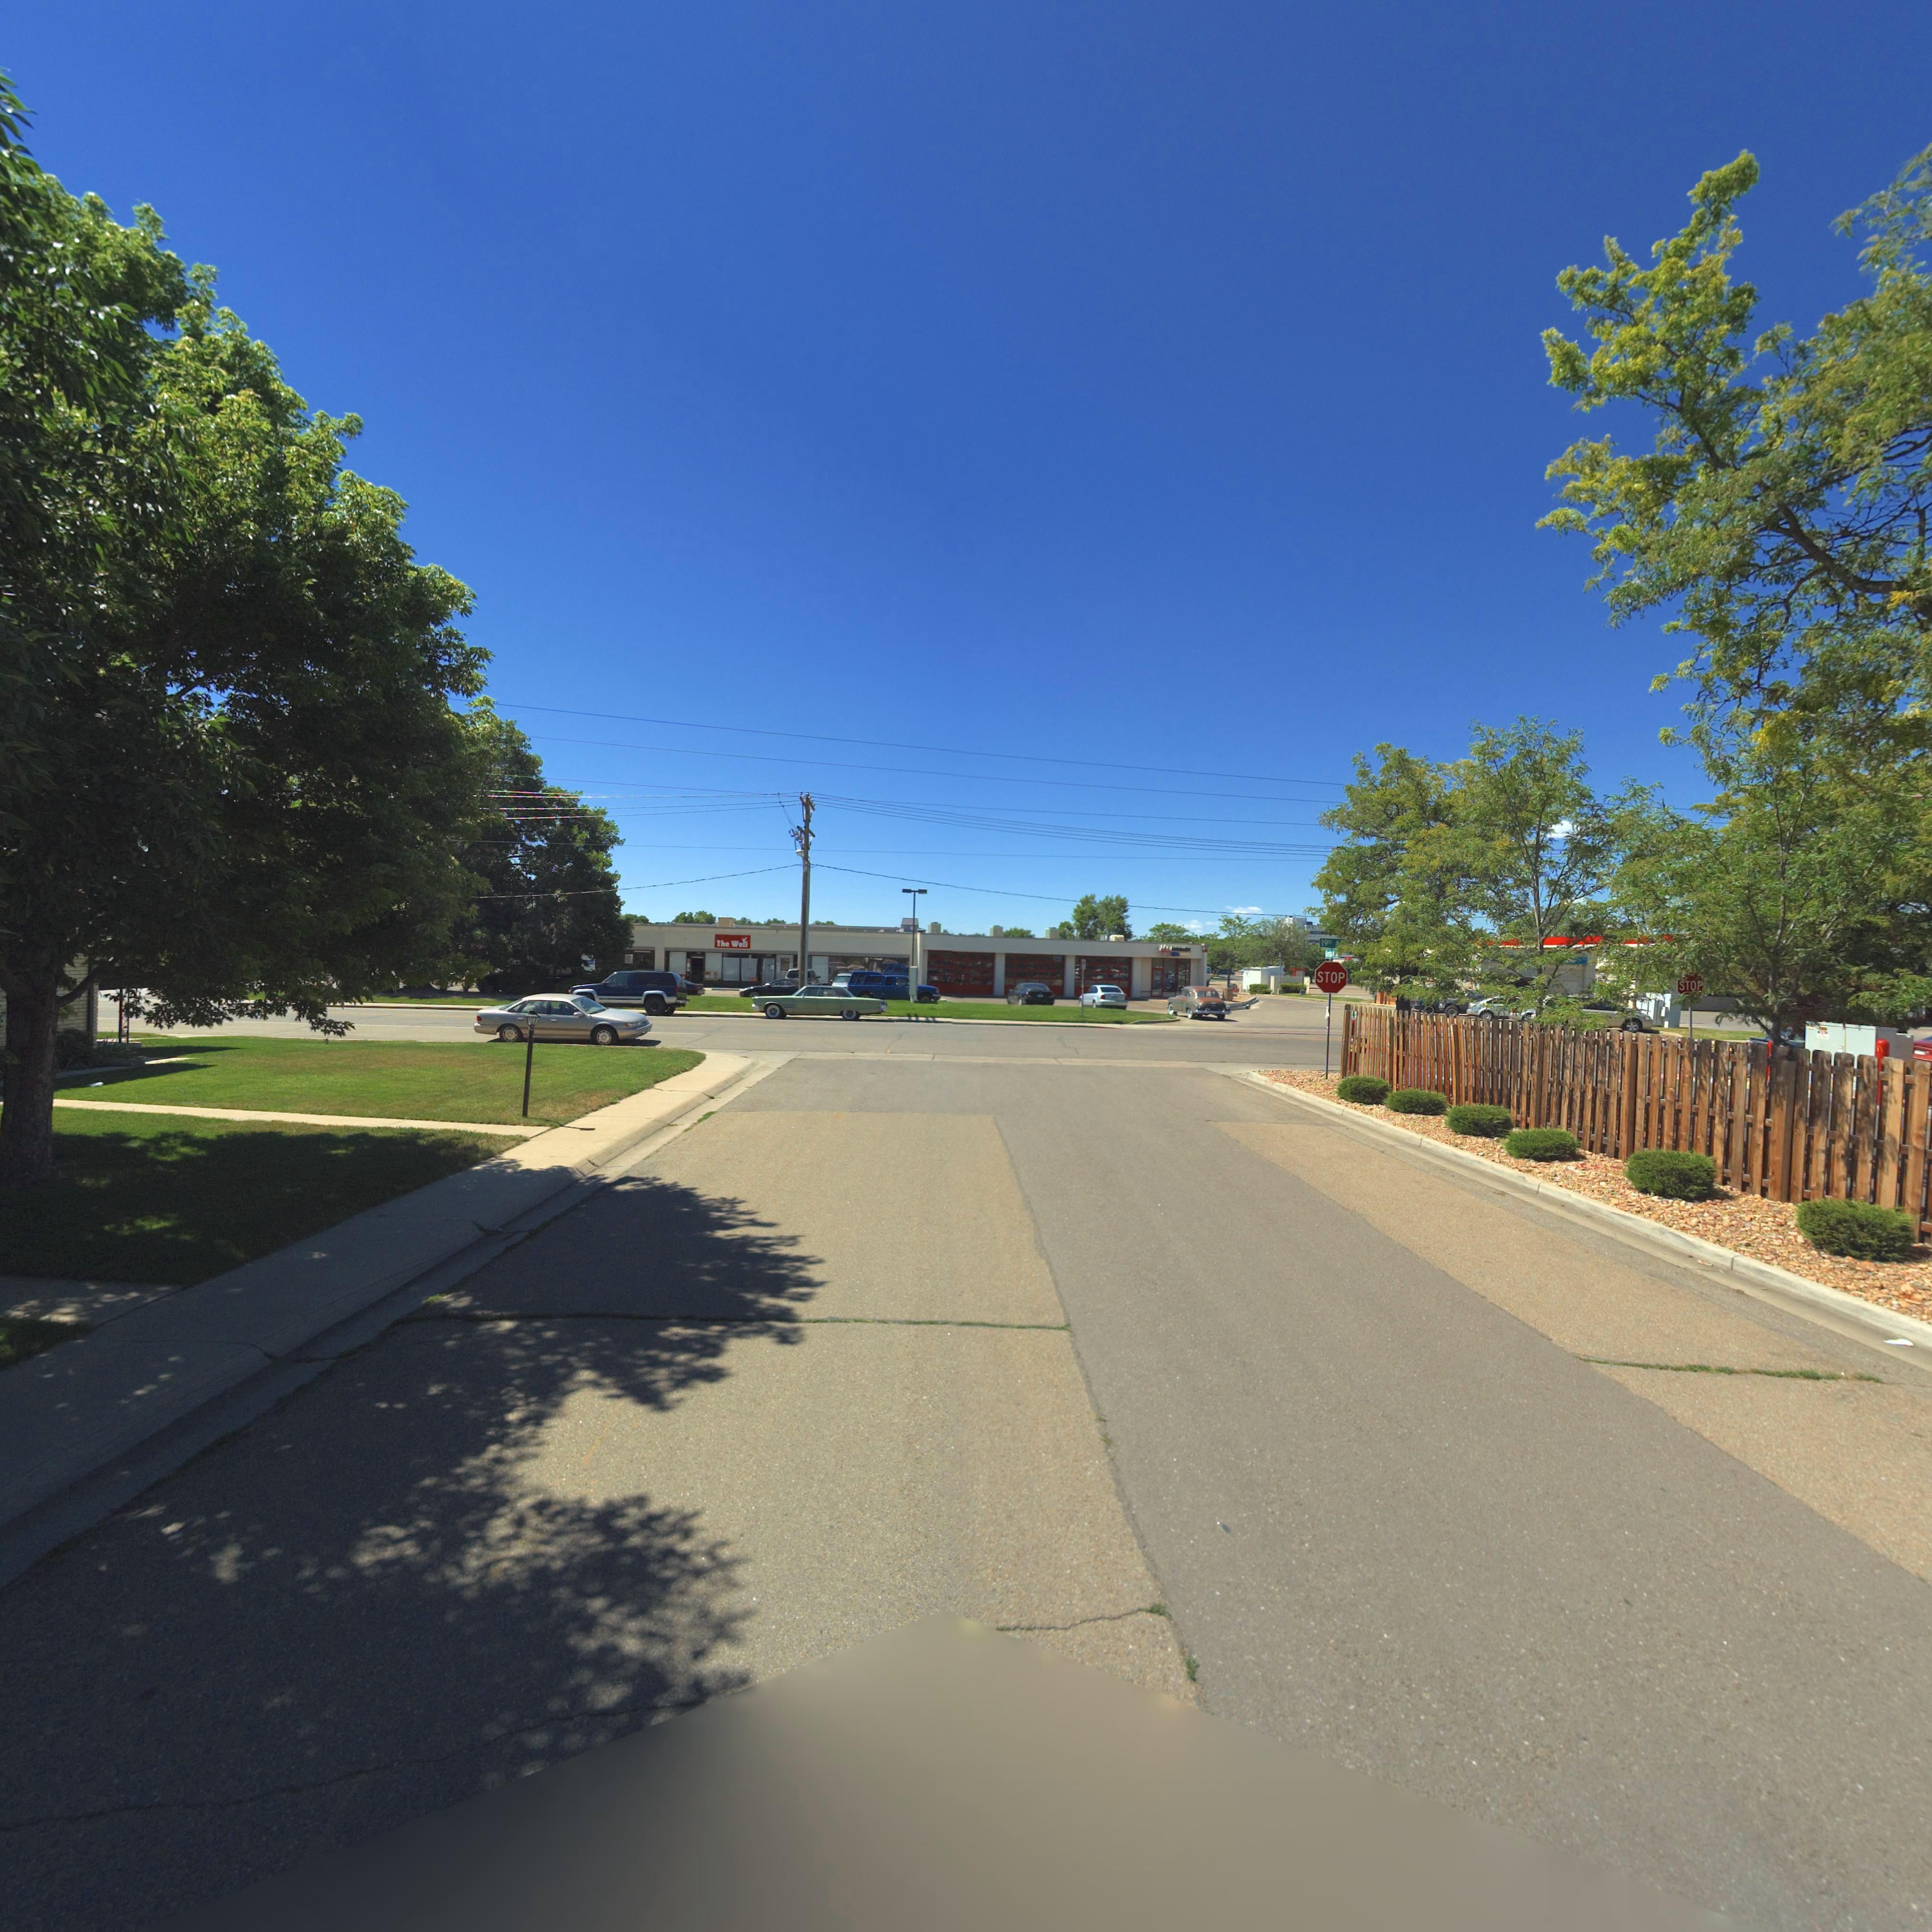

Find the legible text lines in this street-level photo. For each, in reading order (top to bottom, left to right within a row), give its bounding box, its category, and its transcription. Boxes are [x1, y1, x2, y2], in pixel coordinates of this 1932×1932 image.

[716, 937, 748, 947] BusinessName: The We*
[1321, 939, 1340, 947] StreetName: 19th A
[1324, 949, 1334, 957] StreetName: K**** **